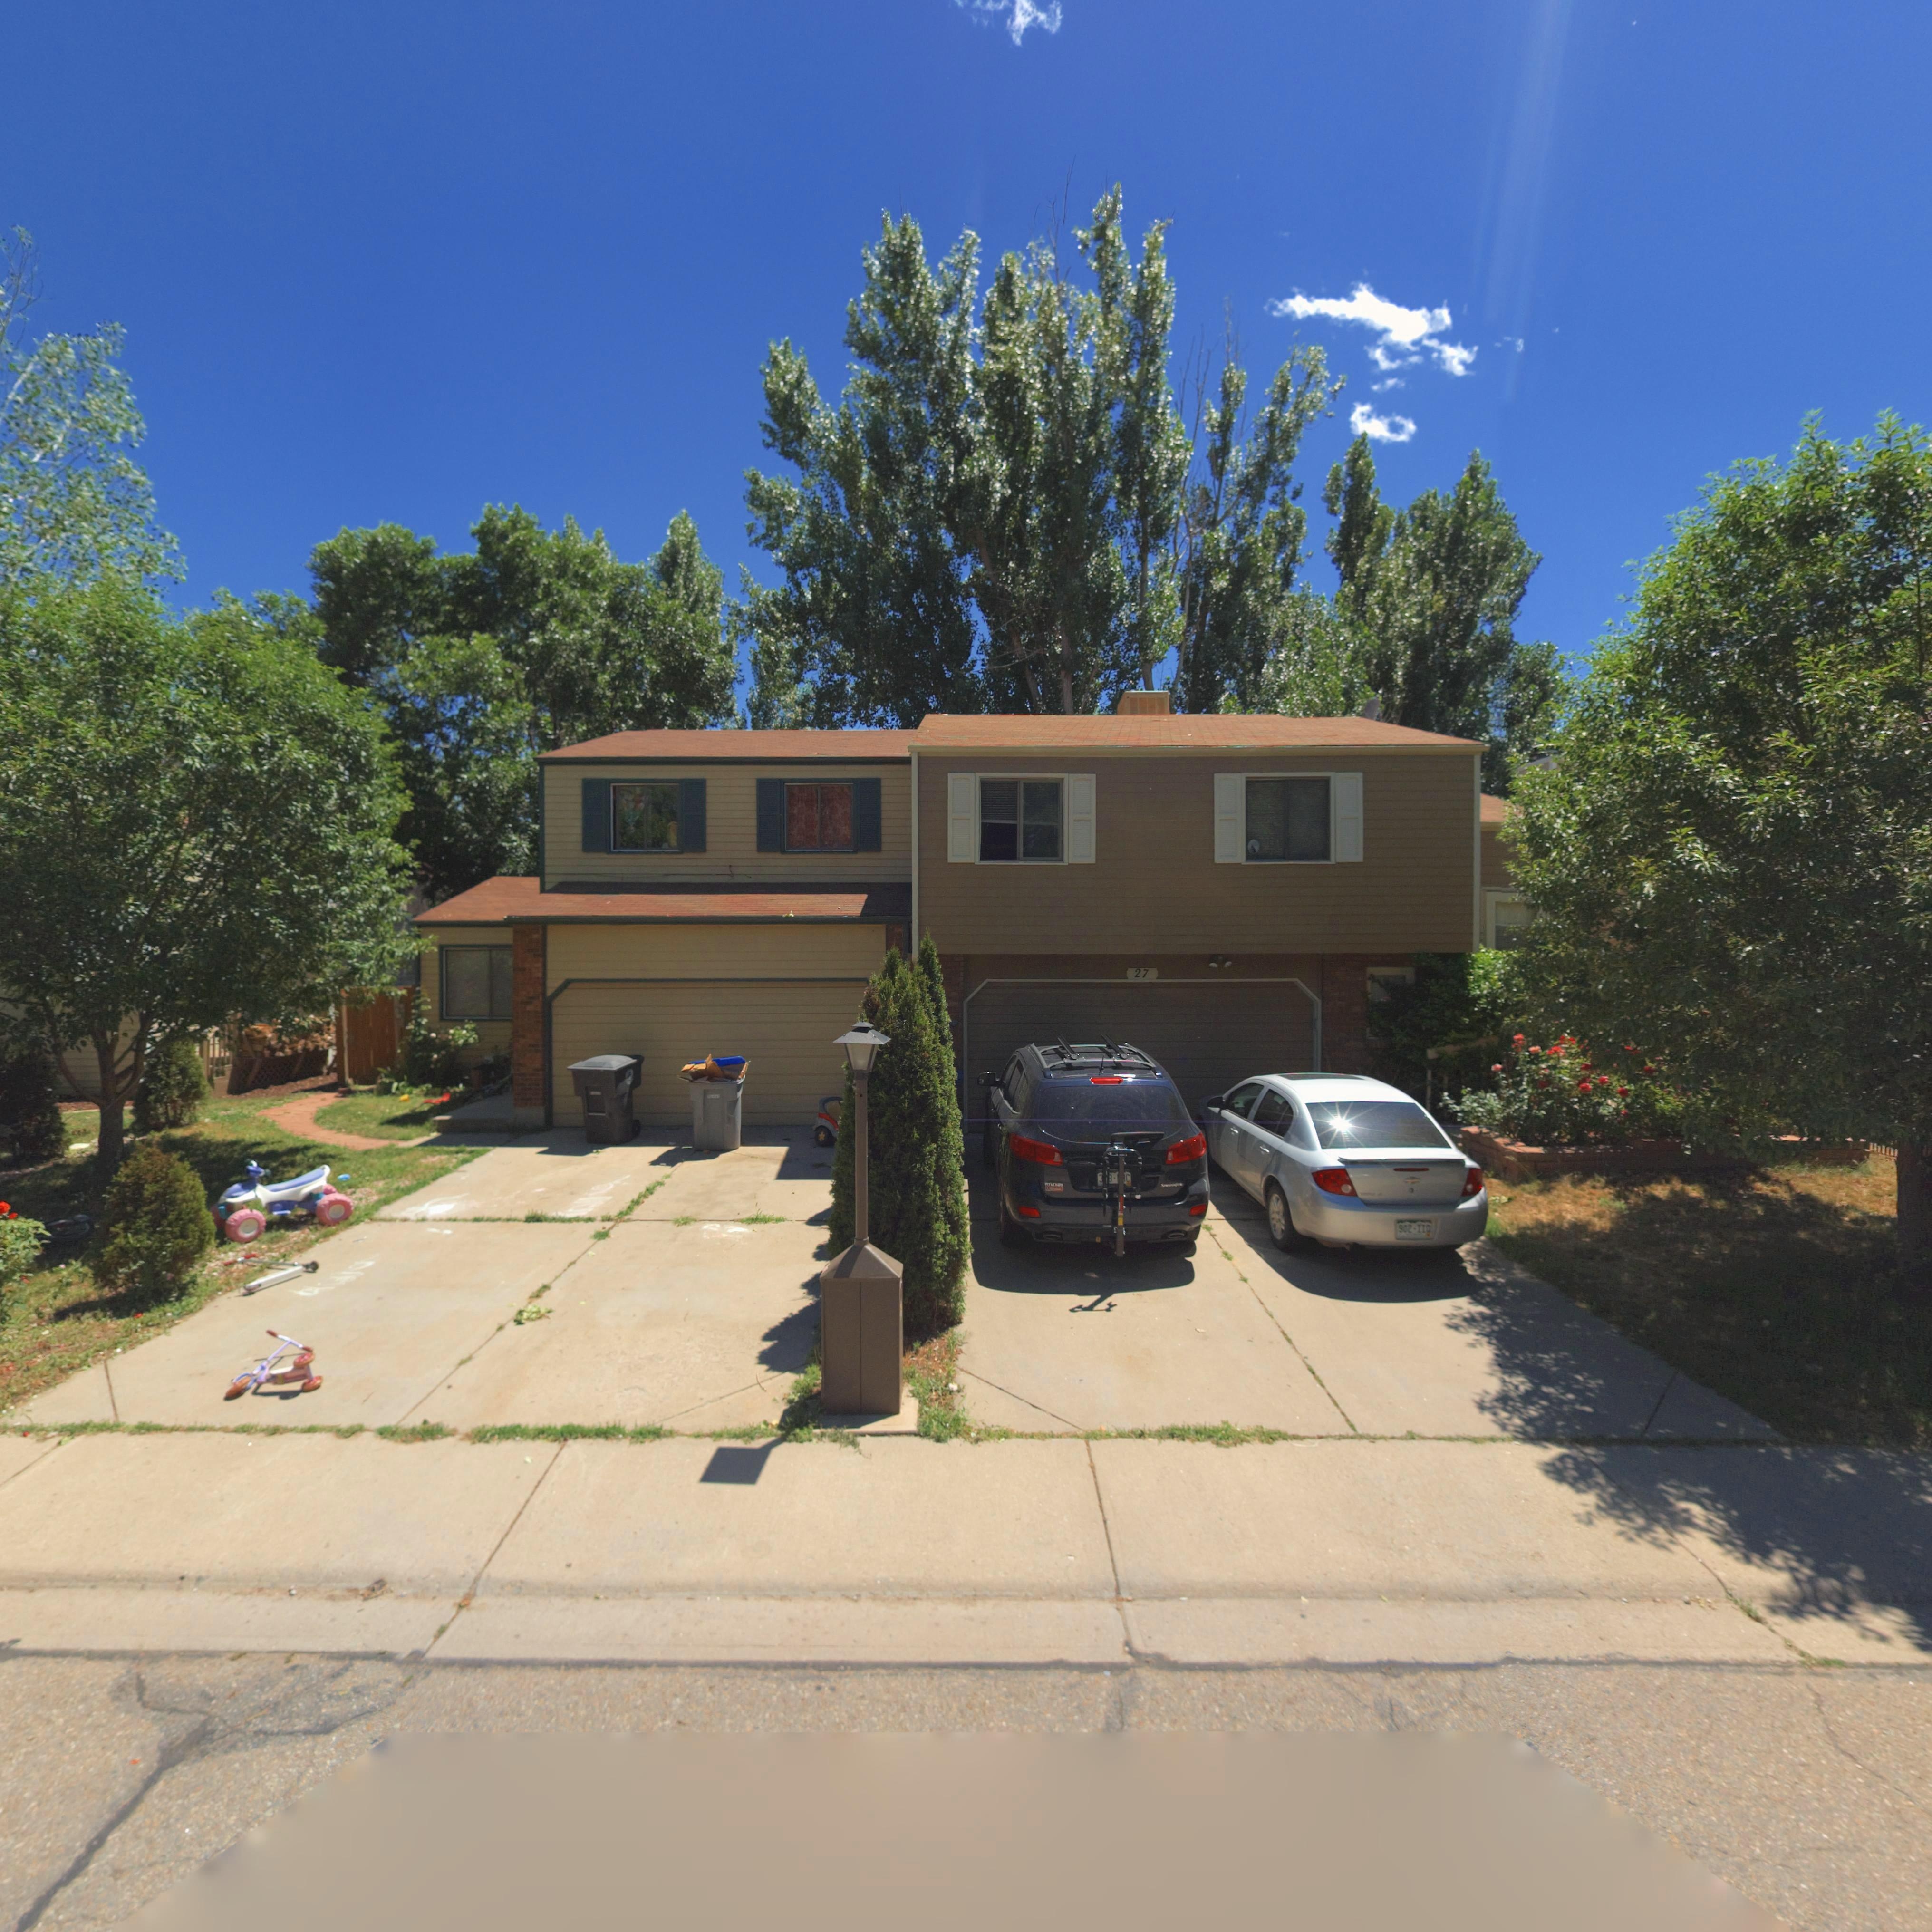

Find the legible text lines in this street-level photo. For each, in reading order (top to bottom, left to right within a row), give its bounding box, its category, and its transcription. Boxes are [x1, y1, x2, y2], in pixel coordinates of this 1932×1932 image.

[1133, 967, 1149, 978] StreetNumber: 27